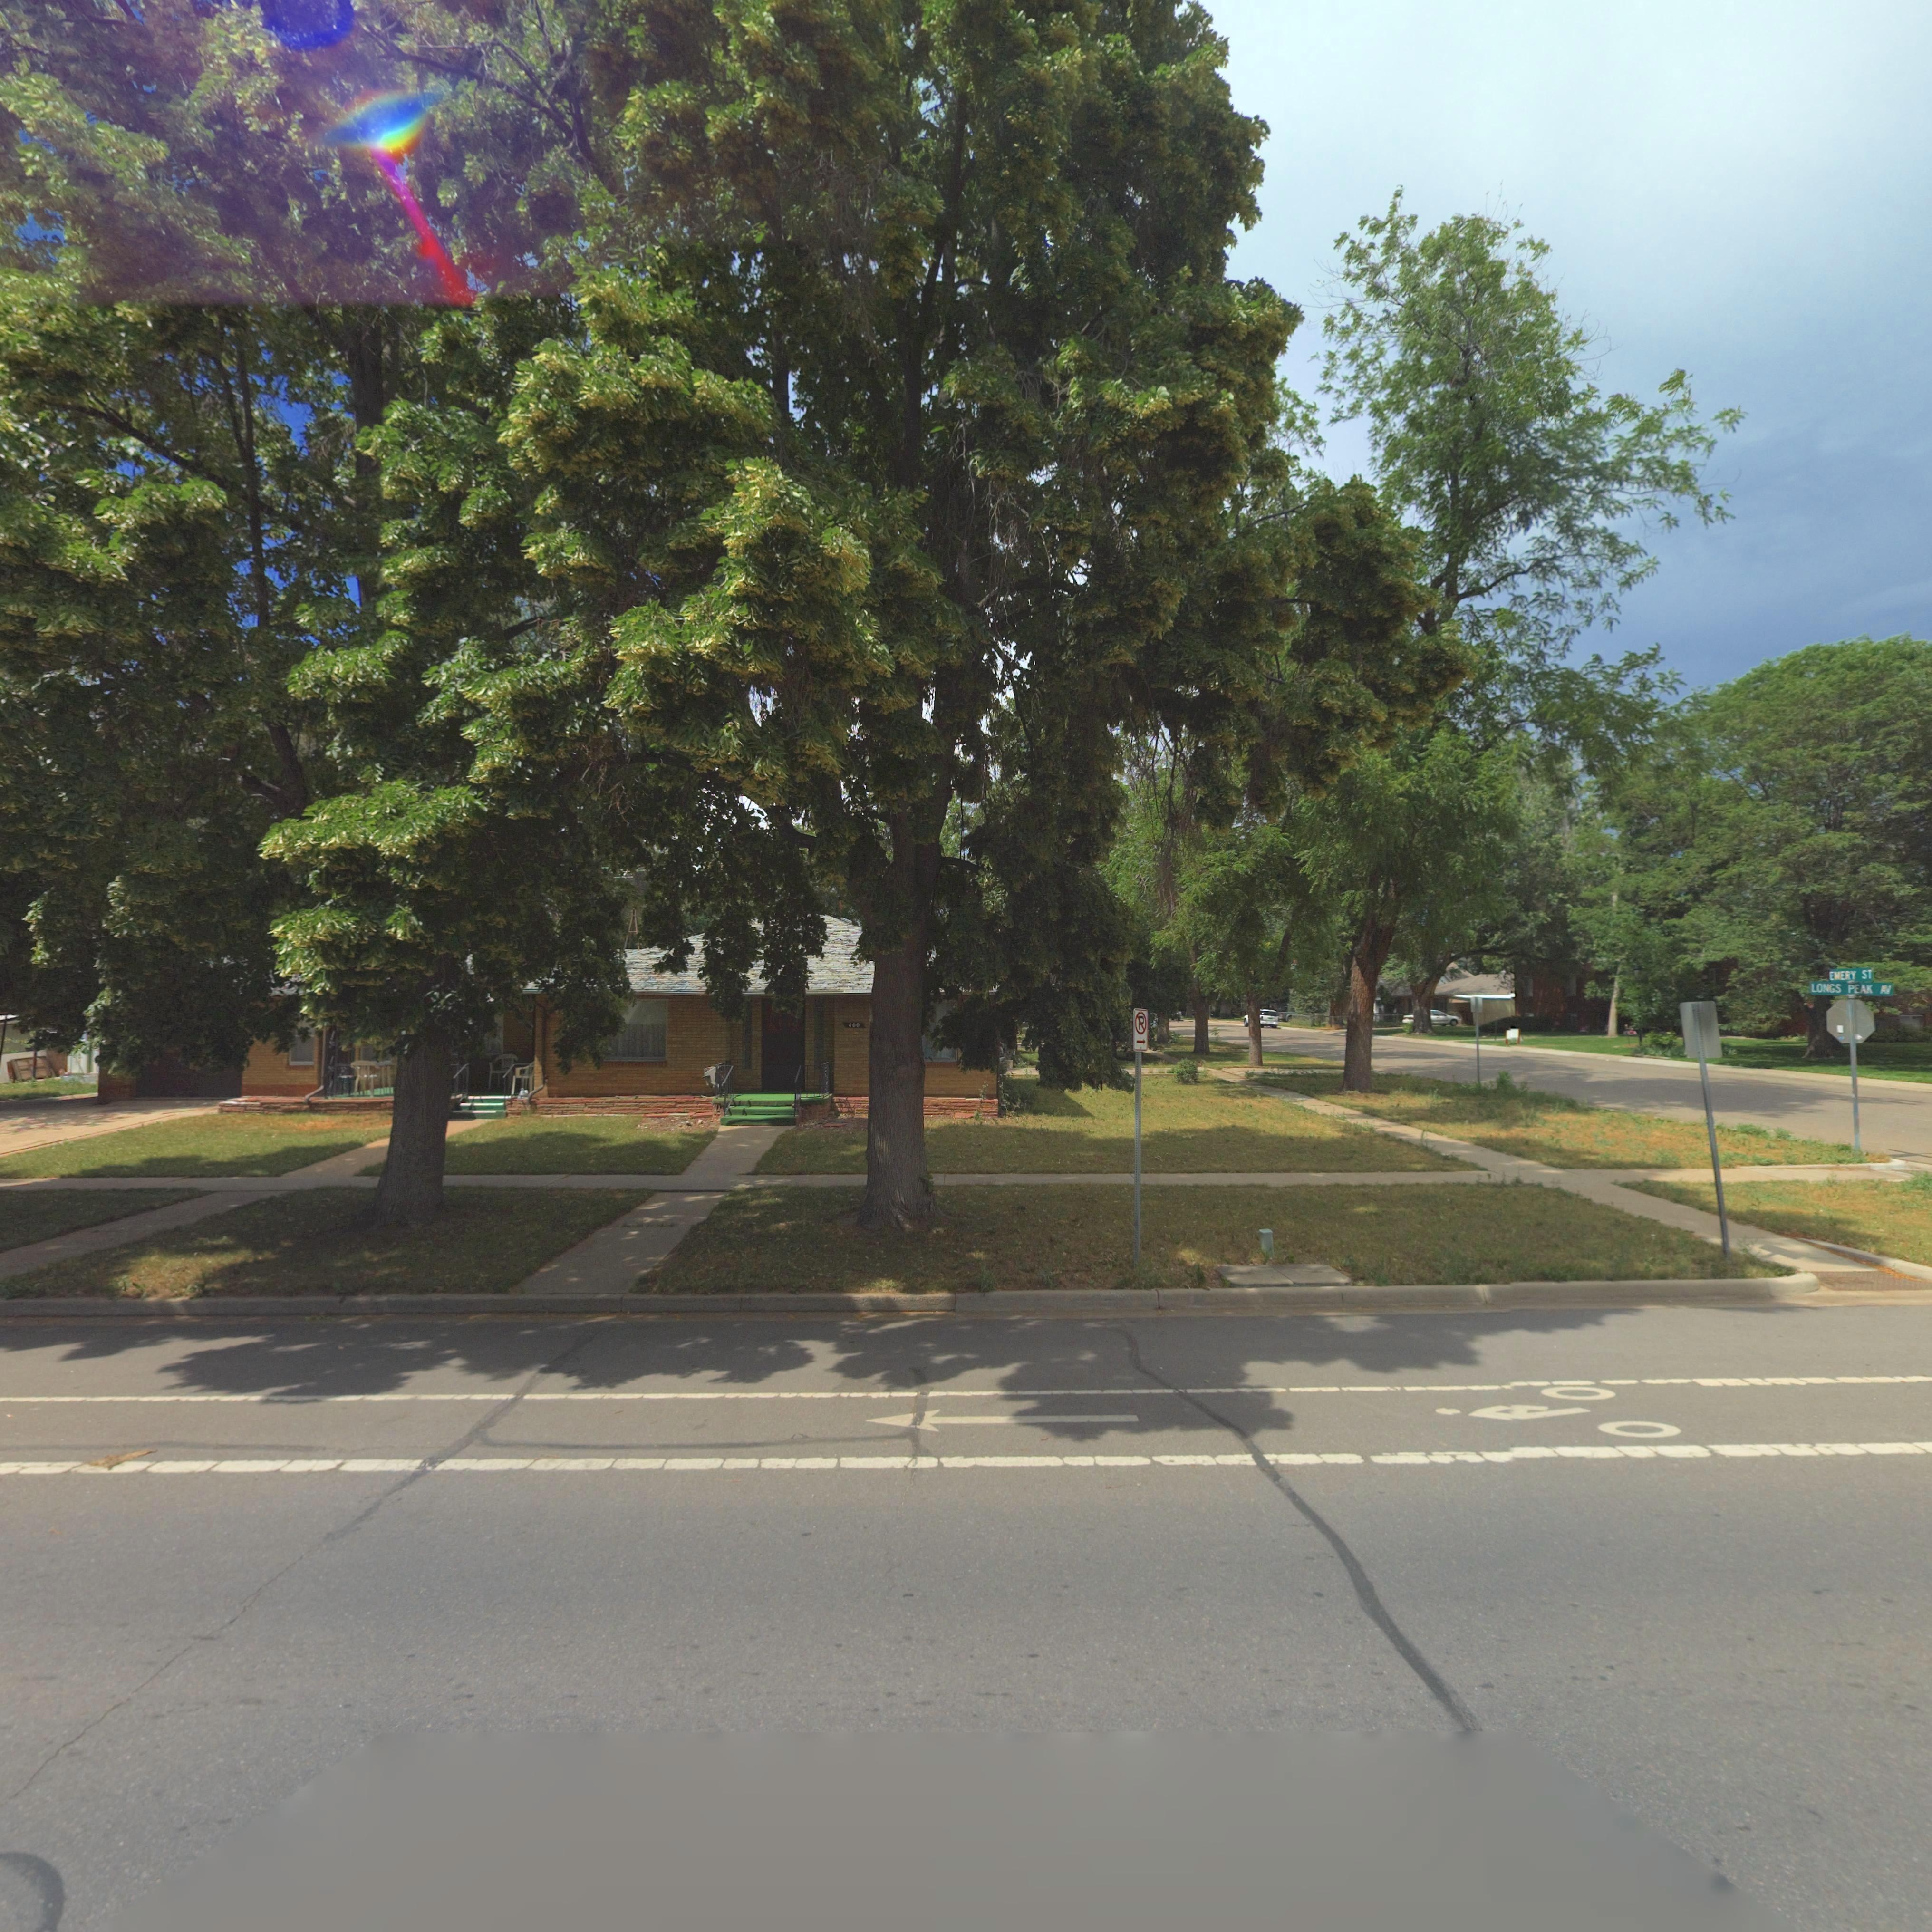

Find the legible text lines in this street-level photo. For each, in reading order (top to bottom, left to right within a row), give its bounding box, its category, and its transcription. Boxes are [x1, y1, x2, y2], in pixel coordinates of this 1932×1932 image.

[1829, 969, 1872, 980] StreetName: EMERY ST
[1811, 983, 1892, 995] StreetName: LONGS PEAK AV
[848, 1022, 860, 1027] StreetNumber: 400